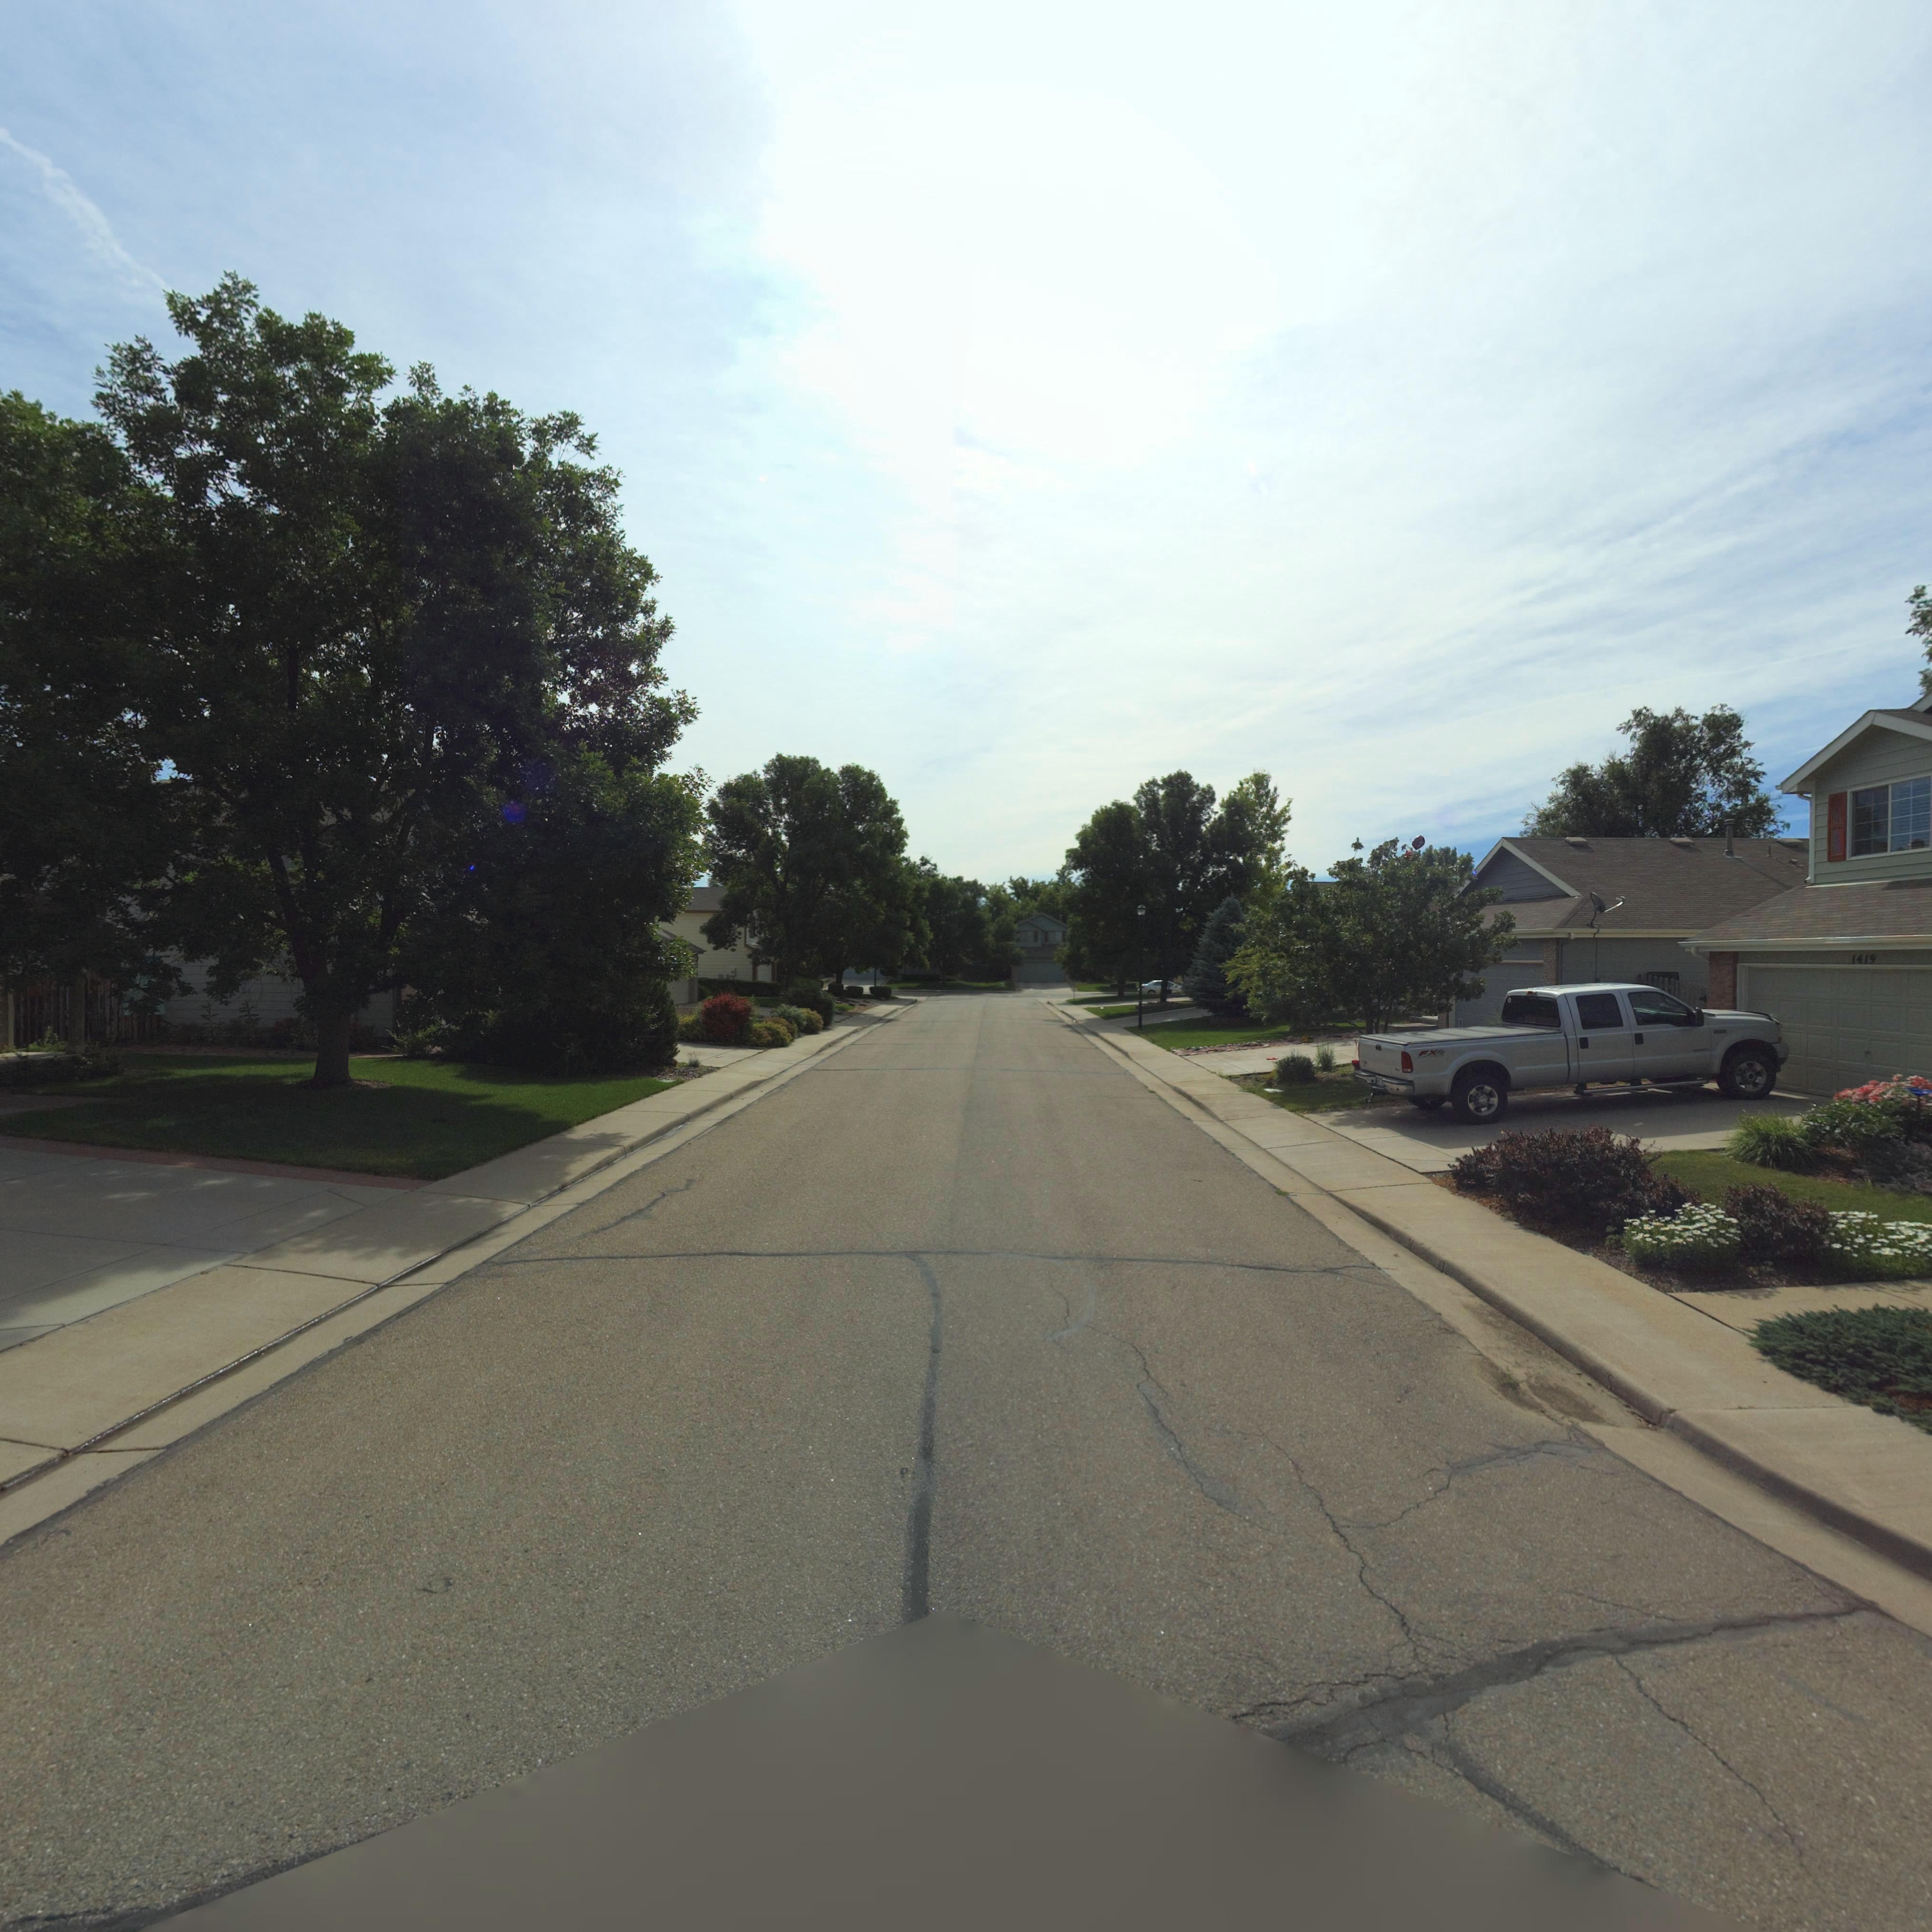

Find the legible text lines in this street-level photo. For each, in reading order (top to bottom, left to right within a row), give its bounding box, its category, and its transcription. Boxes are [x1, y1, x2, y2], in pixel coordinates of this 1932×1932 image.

[1851, 954, 1877, 964] StreetNumber: 1419